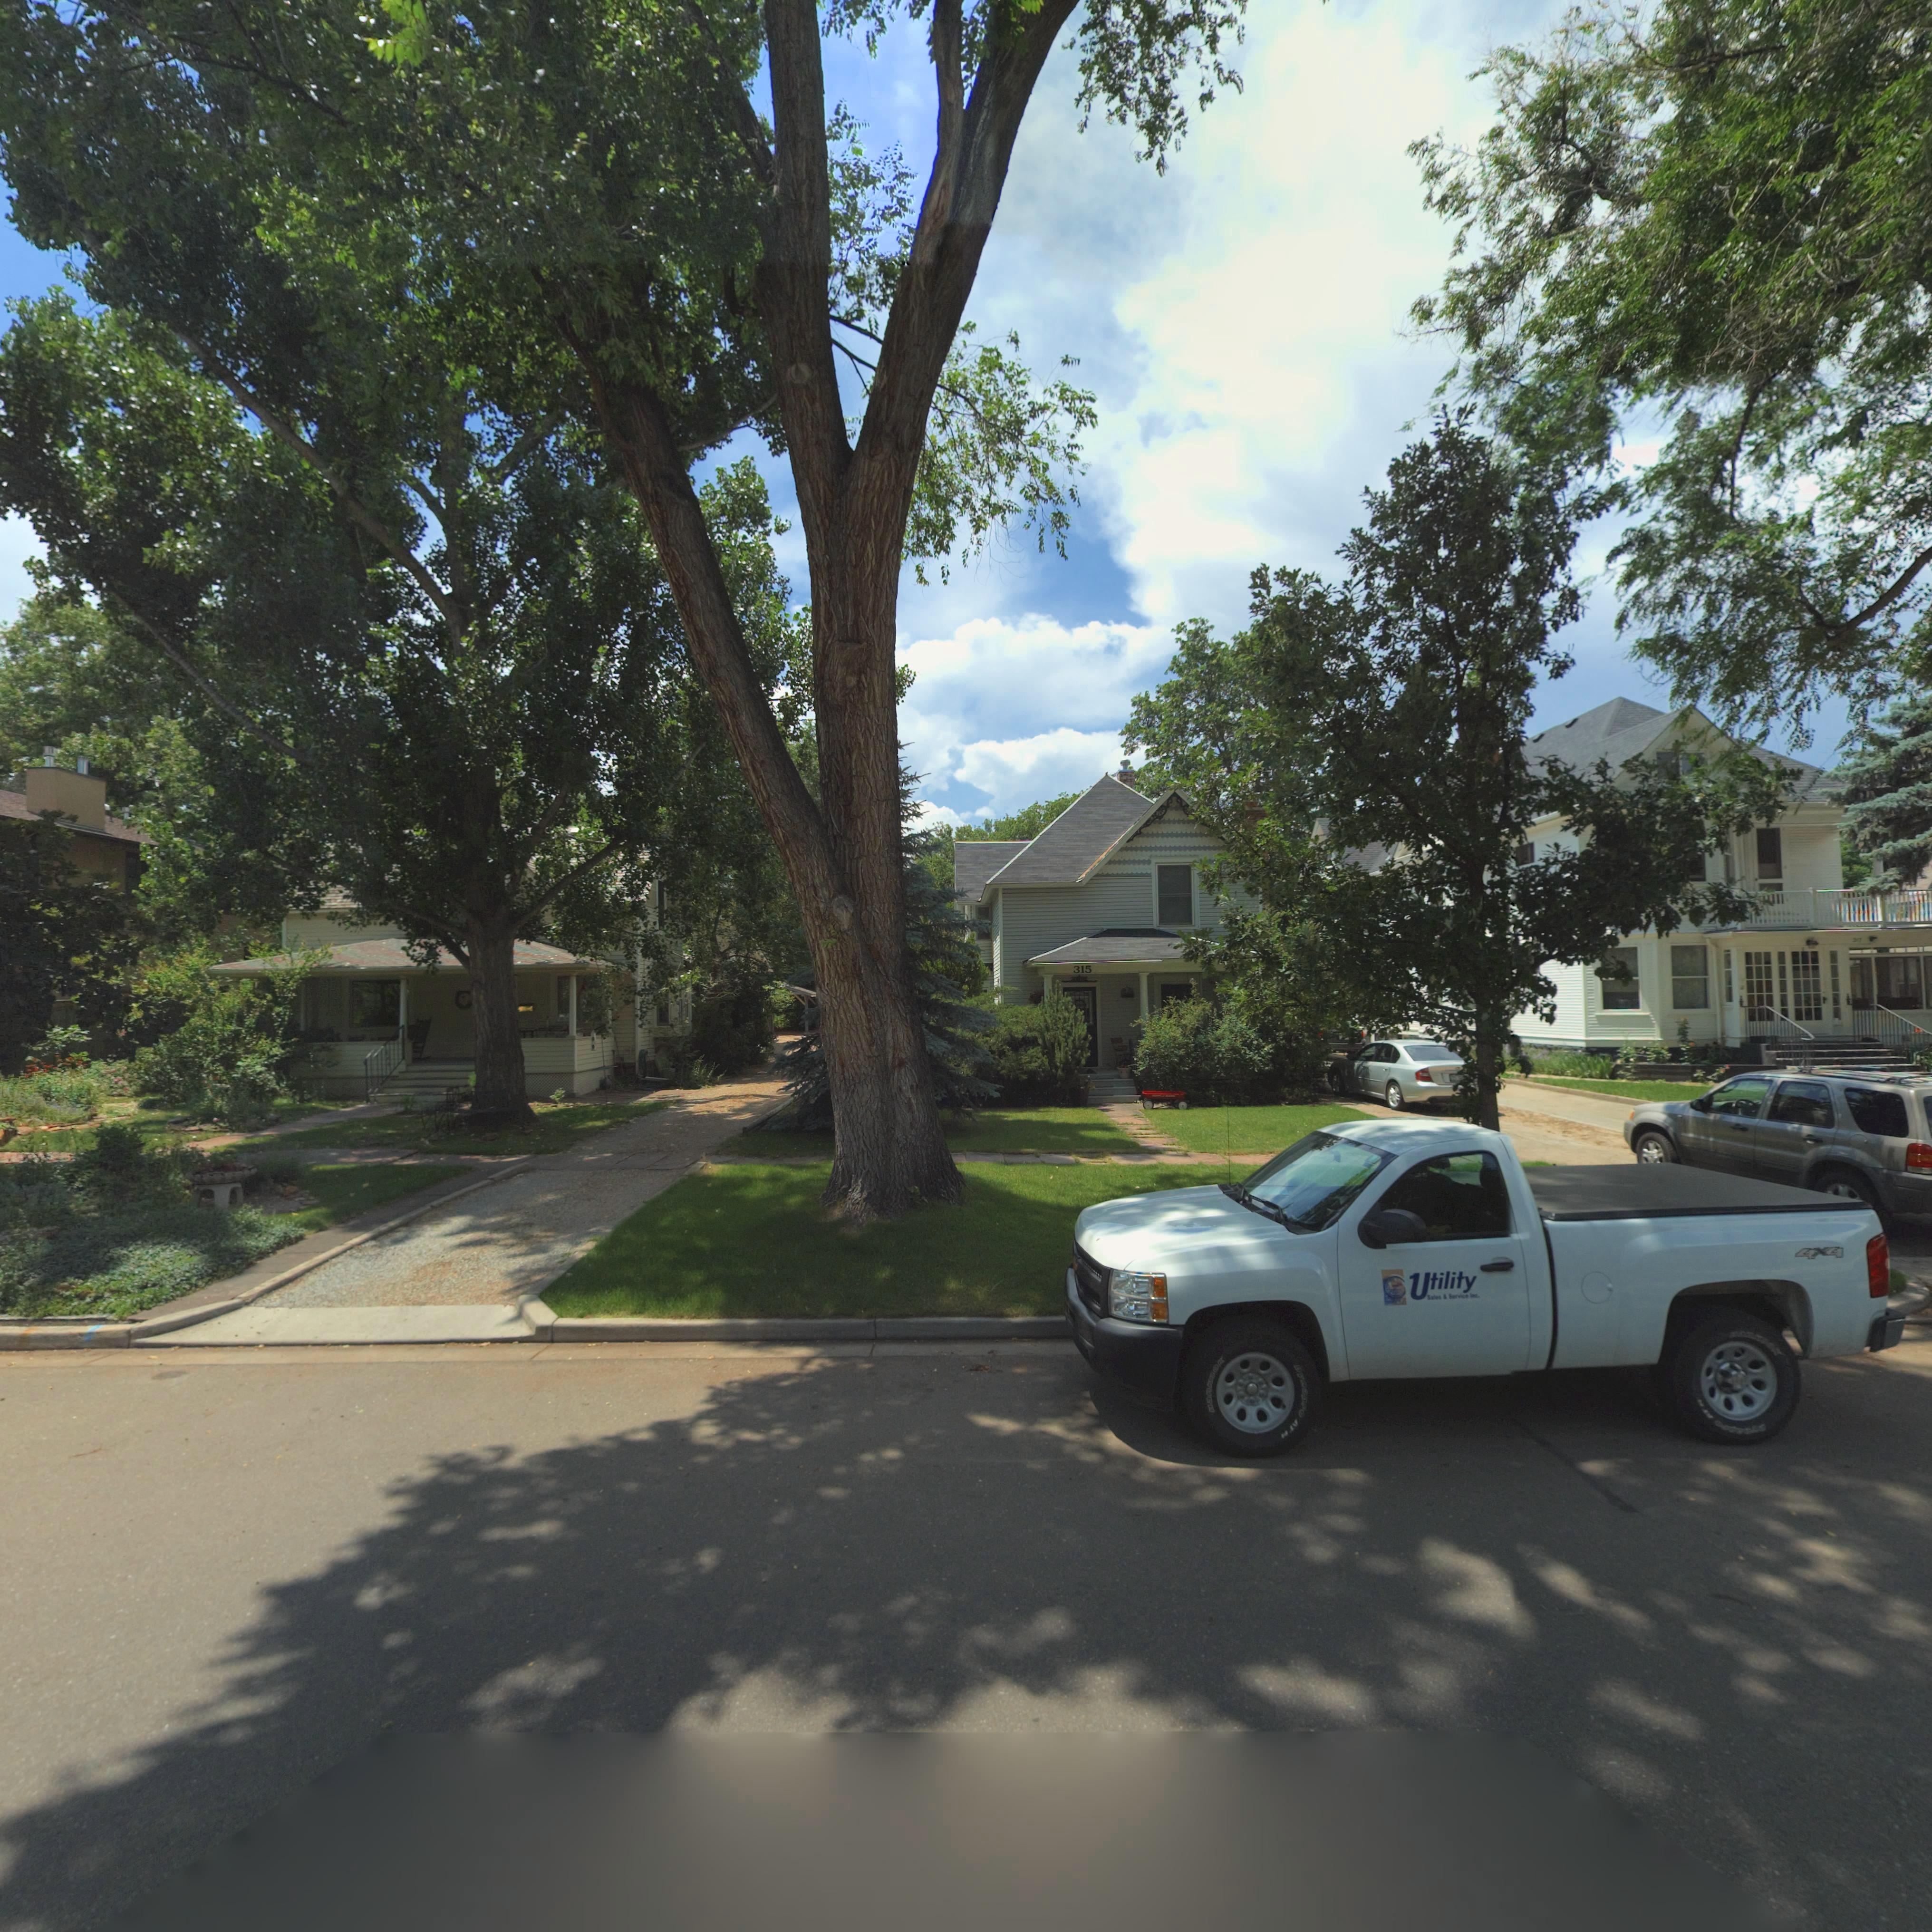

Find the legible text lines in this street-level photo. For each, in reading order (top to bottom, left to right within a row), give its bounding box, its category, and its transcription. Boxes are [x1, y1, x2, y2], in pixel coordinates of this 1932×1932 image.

[1073, 965, 1092, 974] StreetNumber: 315